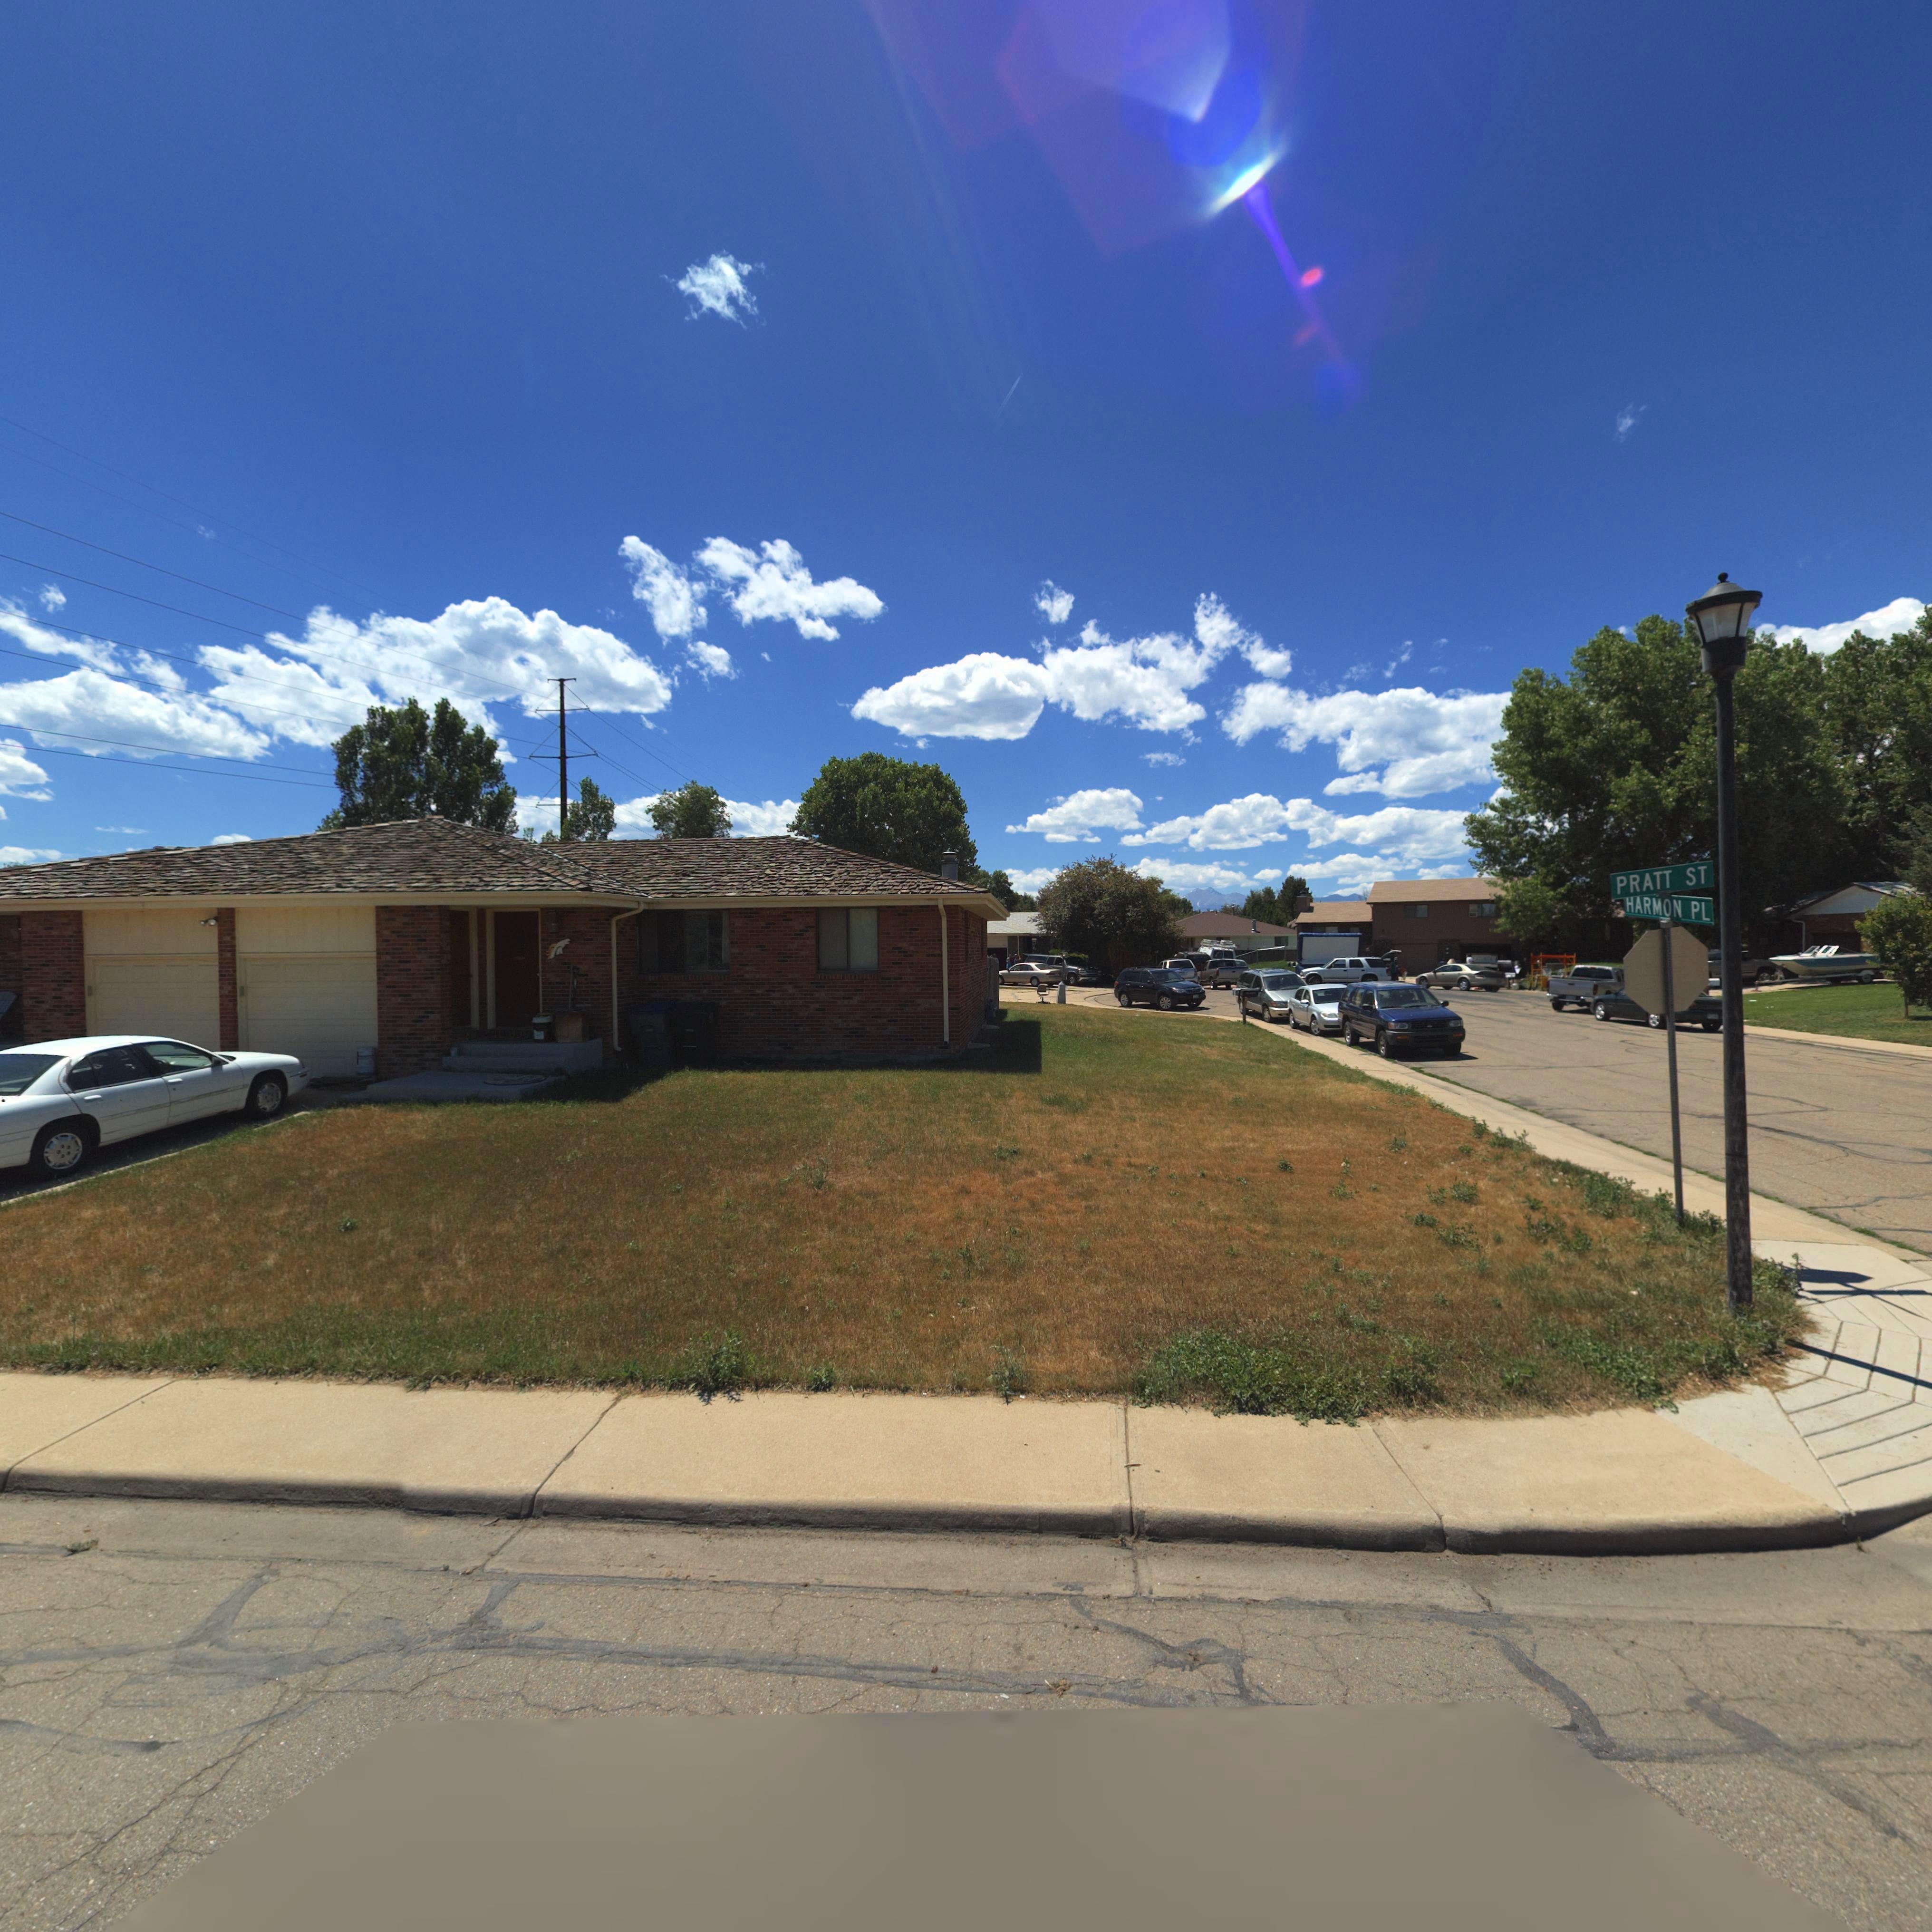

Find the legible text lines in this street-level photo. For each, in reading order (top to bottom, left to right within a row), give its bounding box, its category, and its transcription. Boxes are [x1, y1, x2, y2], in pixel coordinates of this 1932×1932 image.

[1615, 865, 1708, 895] StreetName: PRATT ST
[1626, 896, 1711, 922] StreetName: HARMON PL